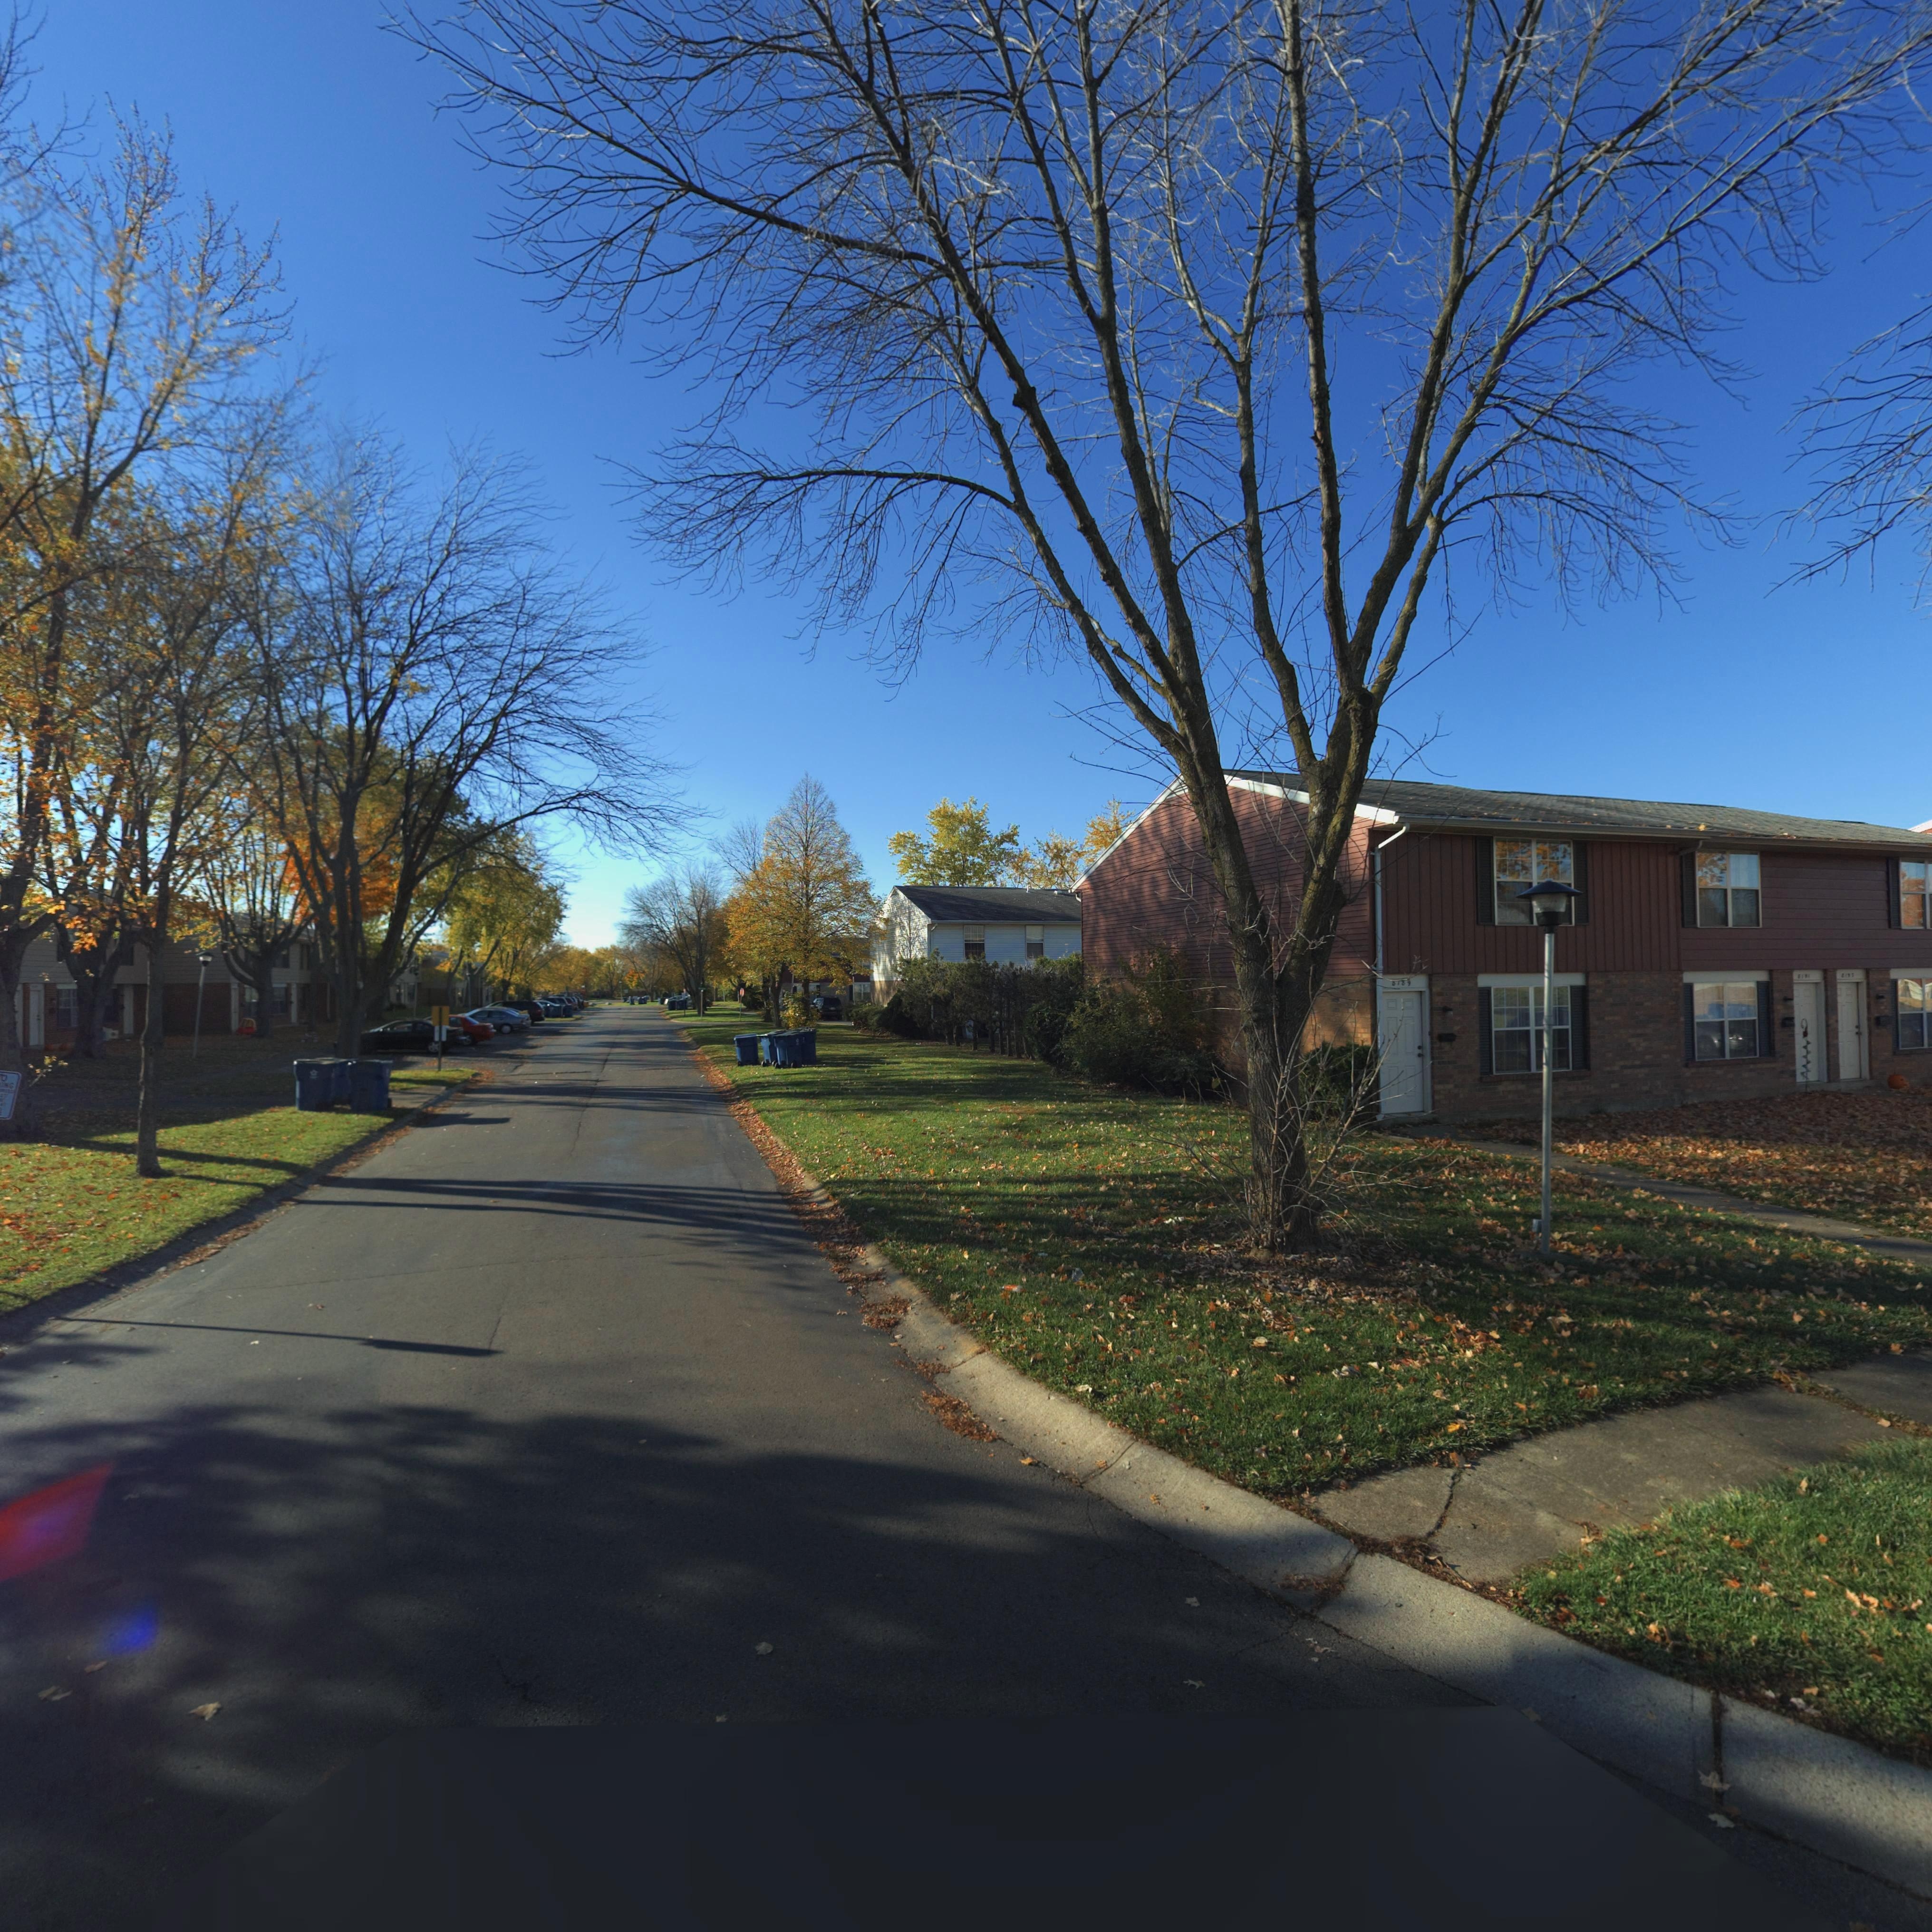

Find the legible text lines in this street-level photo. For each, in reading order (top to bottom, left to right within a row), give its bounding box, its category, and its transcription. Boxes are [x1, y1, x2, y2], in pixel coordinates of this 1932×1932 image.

[1797, 973, 1811, 979] StreetNumber: 8191
[1841, 972, 1855, 978] StreetNumber: 8193
[1391, 980, 1412, 987] StreetNumber: 8189